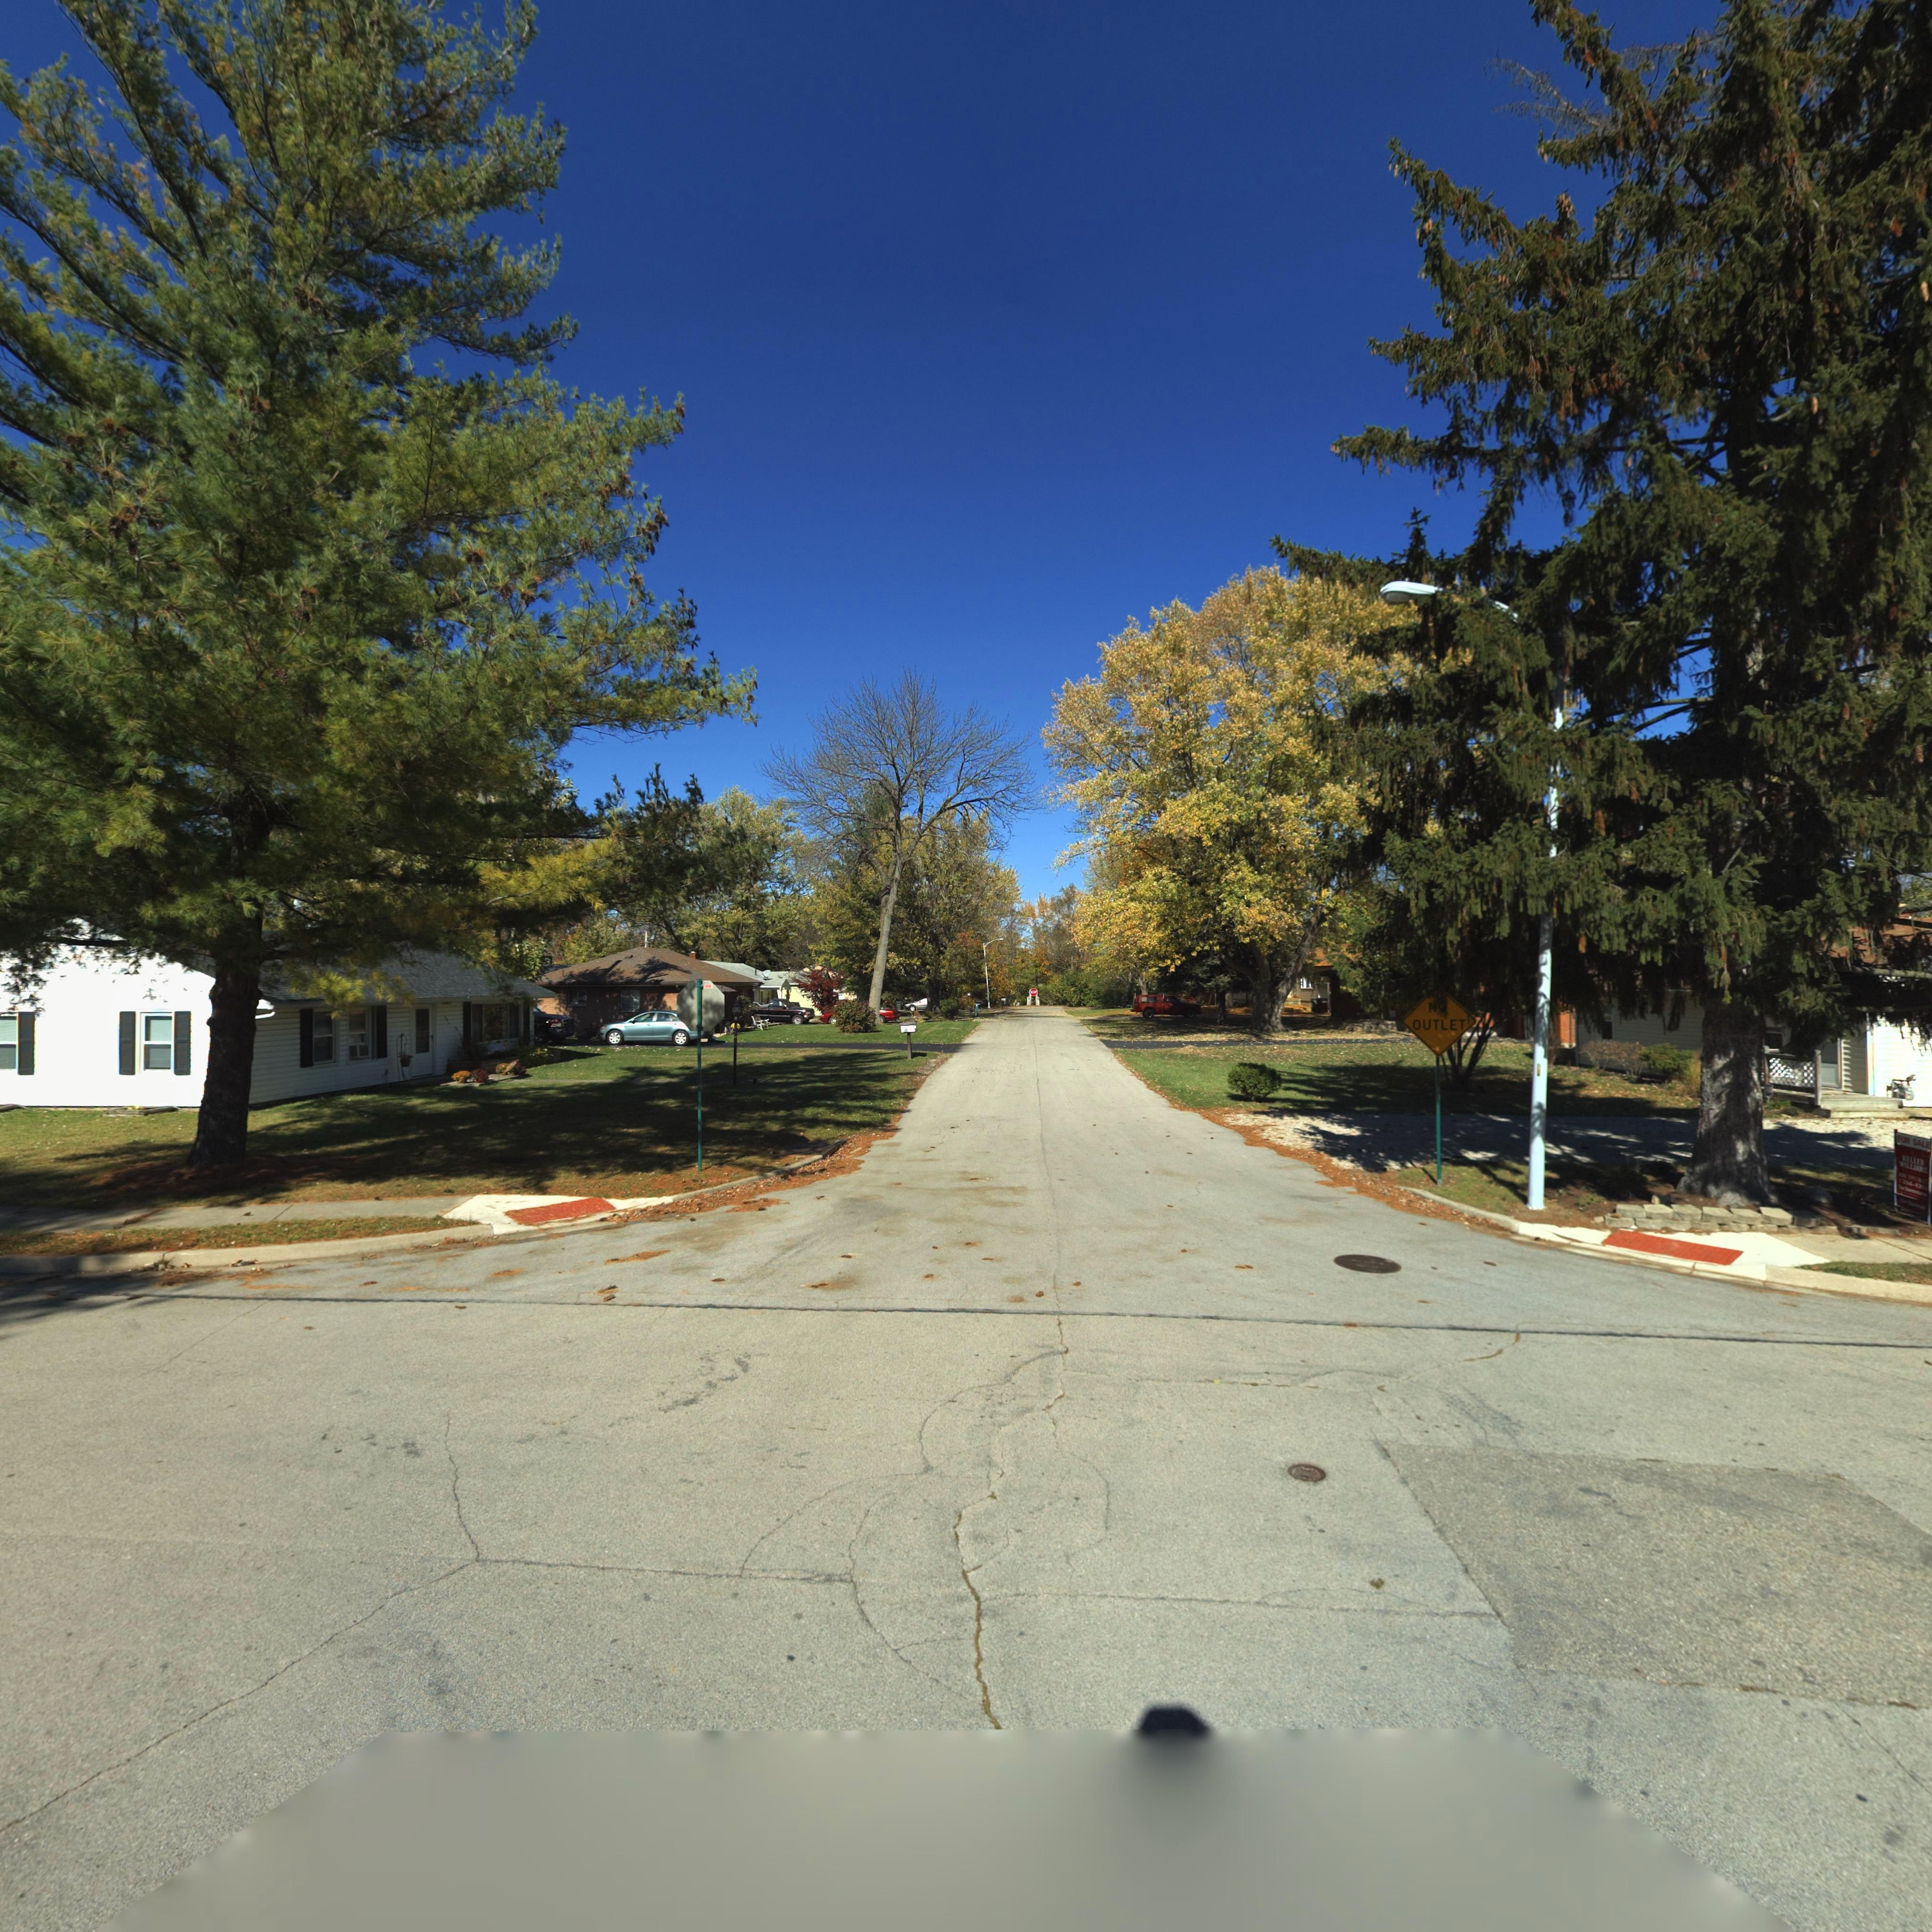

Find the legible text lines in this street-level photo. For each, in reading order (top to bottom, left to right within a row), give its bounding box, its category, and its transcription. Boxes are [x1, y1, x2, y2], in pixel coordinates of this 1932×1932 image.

[443, 1014, 450, 1026] StreetNumber: 7**